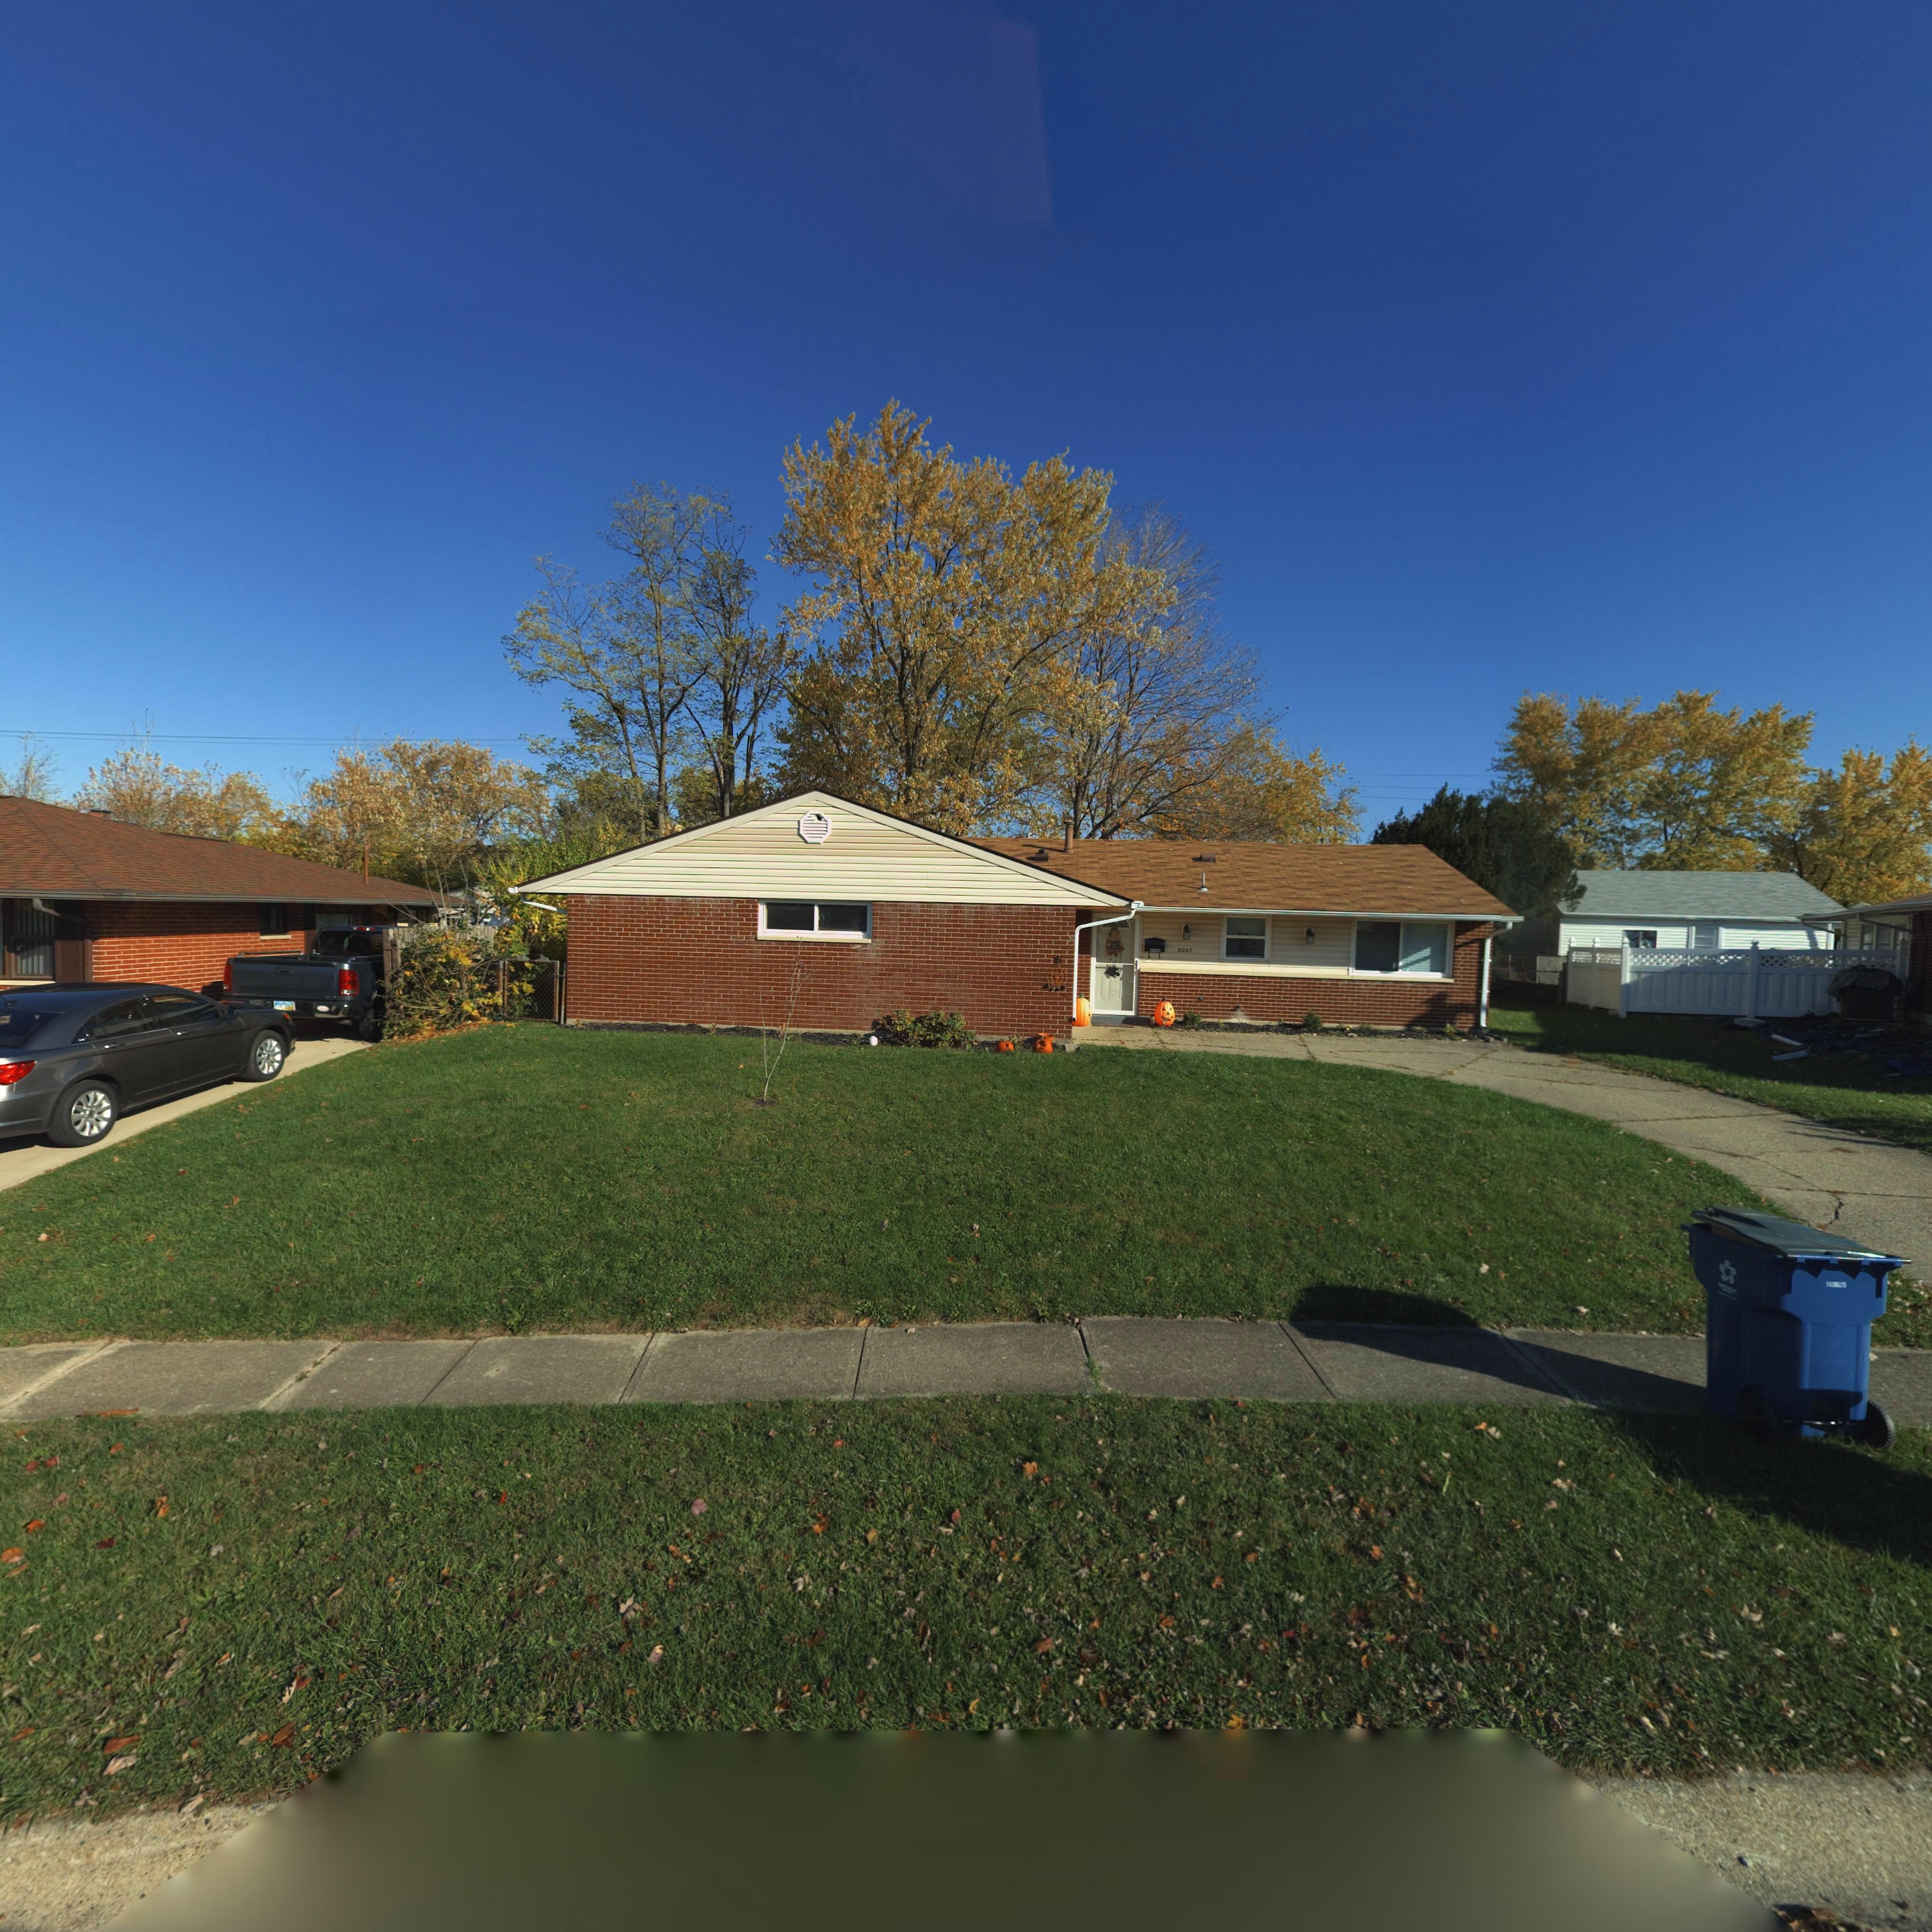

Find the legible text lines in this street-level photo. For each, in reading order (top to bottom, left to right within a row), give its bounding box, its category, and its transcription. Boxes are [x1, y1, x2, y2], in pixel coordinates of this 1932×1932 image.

[1177, 947, 1193, 954] StreetNumber: 8007